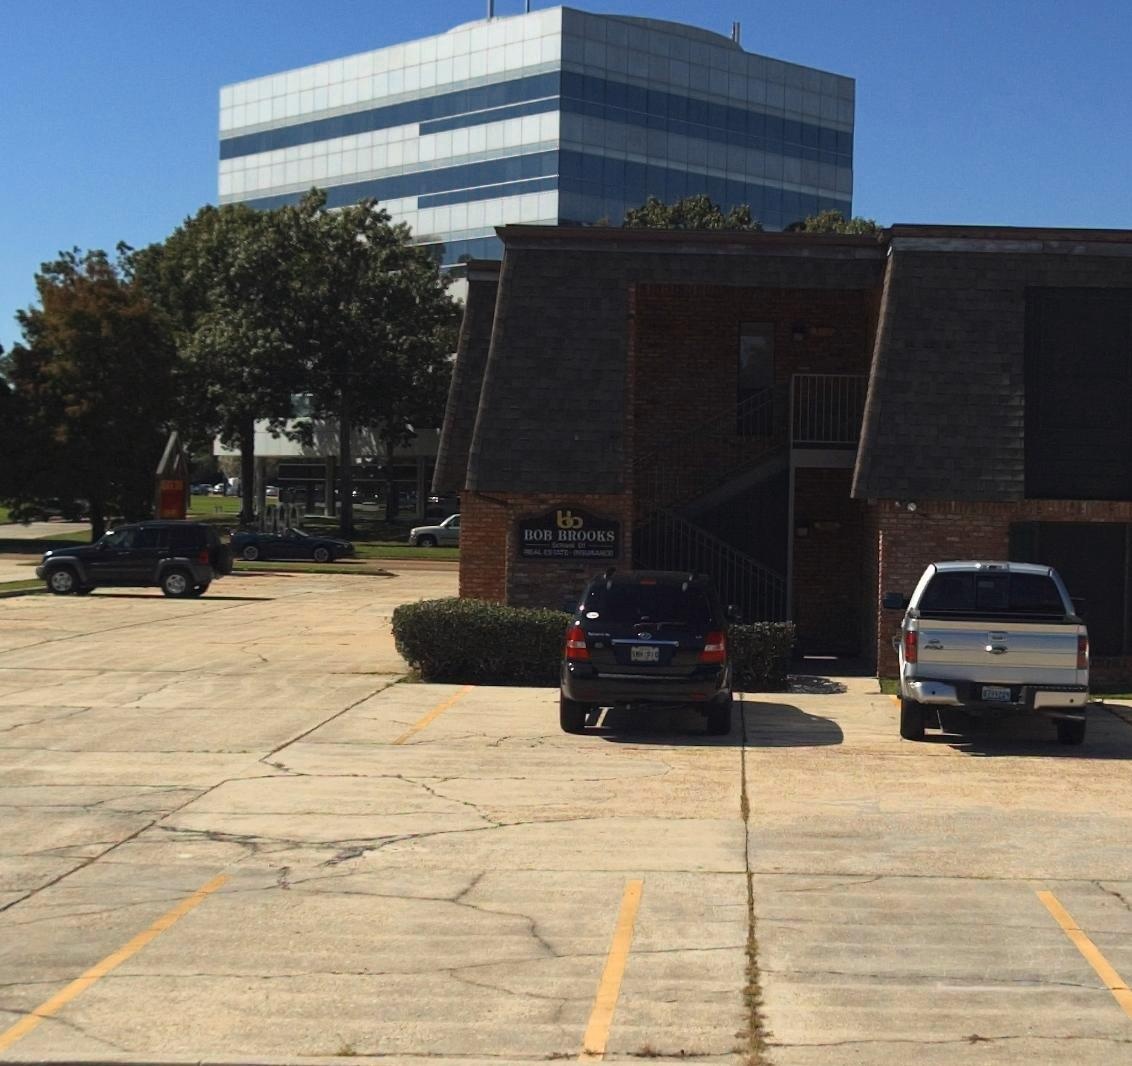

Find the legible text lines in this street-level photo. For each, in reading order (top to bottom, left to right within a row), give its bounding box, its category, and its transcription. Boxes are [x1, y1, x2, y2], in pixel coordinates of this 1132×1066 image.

[554, 507, 586, 532] None: bb
[522, 527, 617, 544] BusinessName: BOB BROOKS